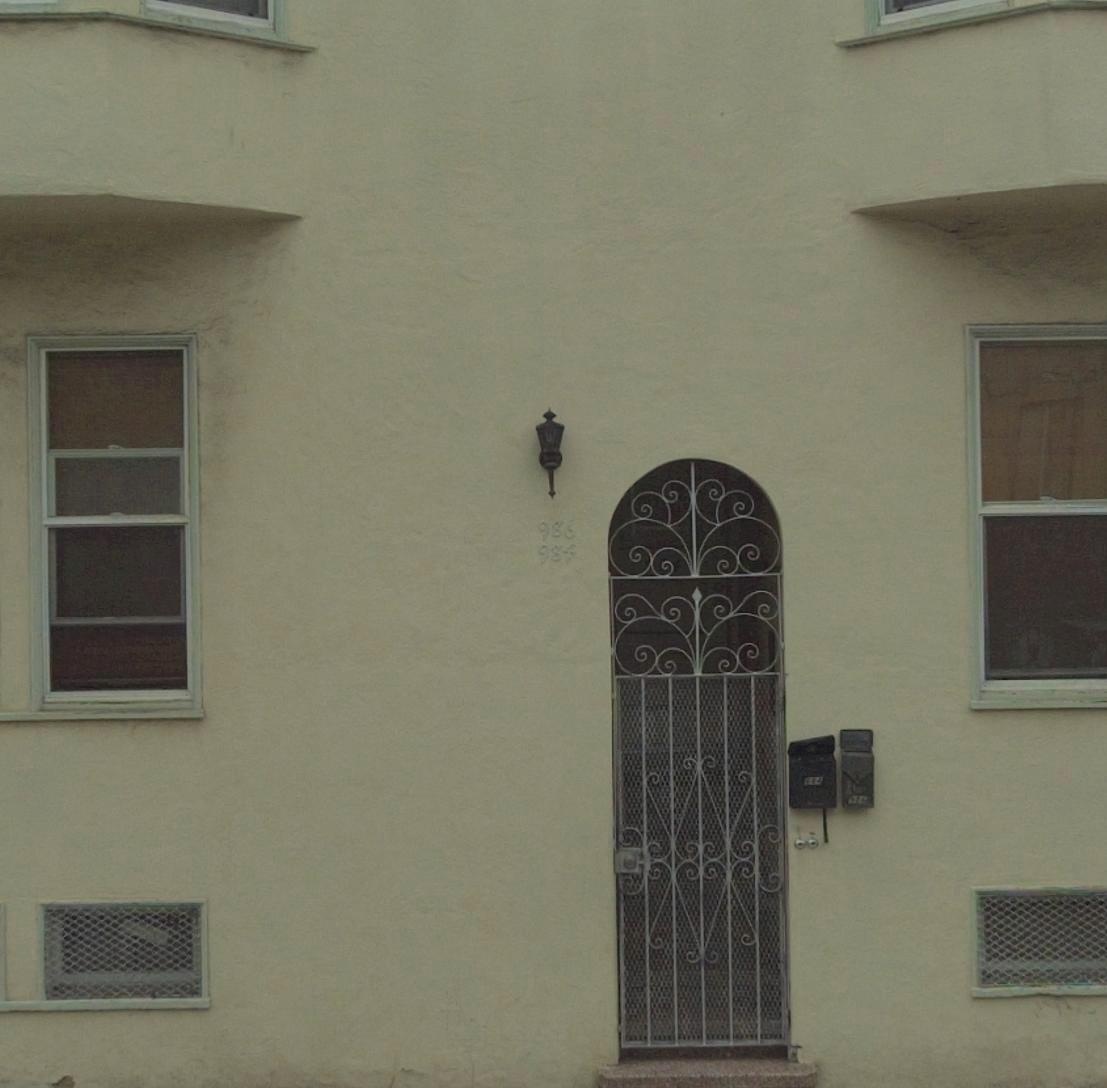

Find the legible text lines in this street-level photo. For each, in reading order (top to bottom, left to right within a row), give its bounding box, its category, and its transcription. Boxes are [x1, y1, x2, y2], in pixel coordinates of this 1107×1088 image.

[537, 517, 577, 542] StreetNumber: 986
[535, 542, 576, 566] StreetNumber: 984